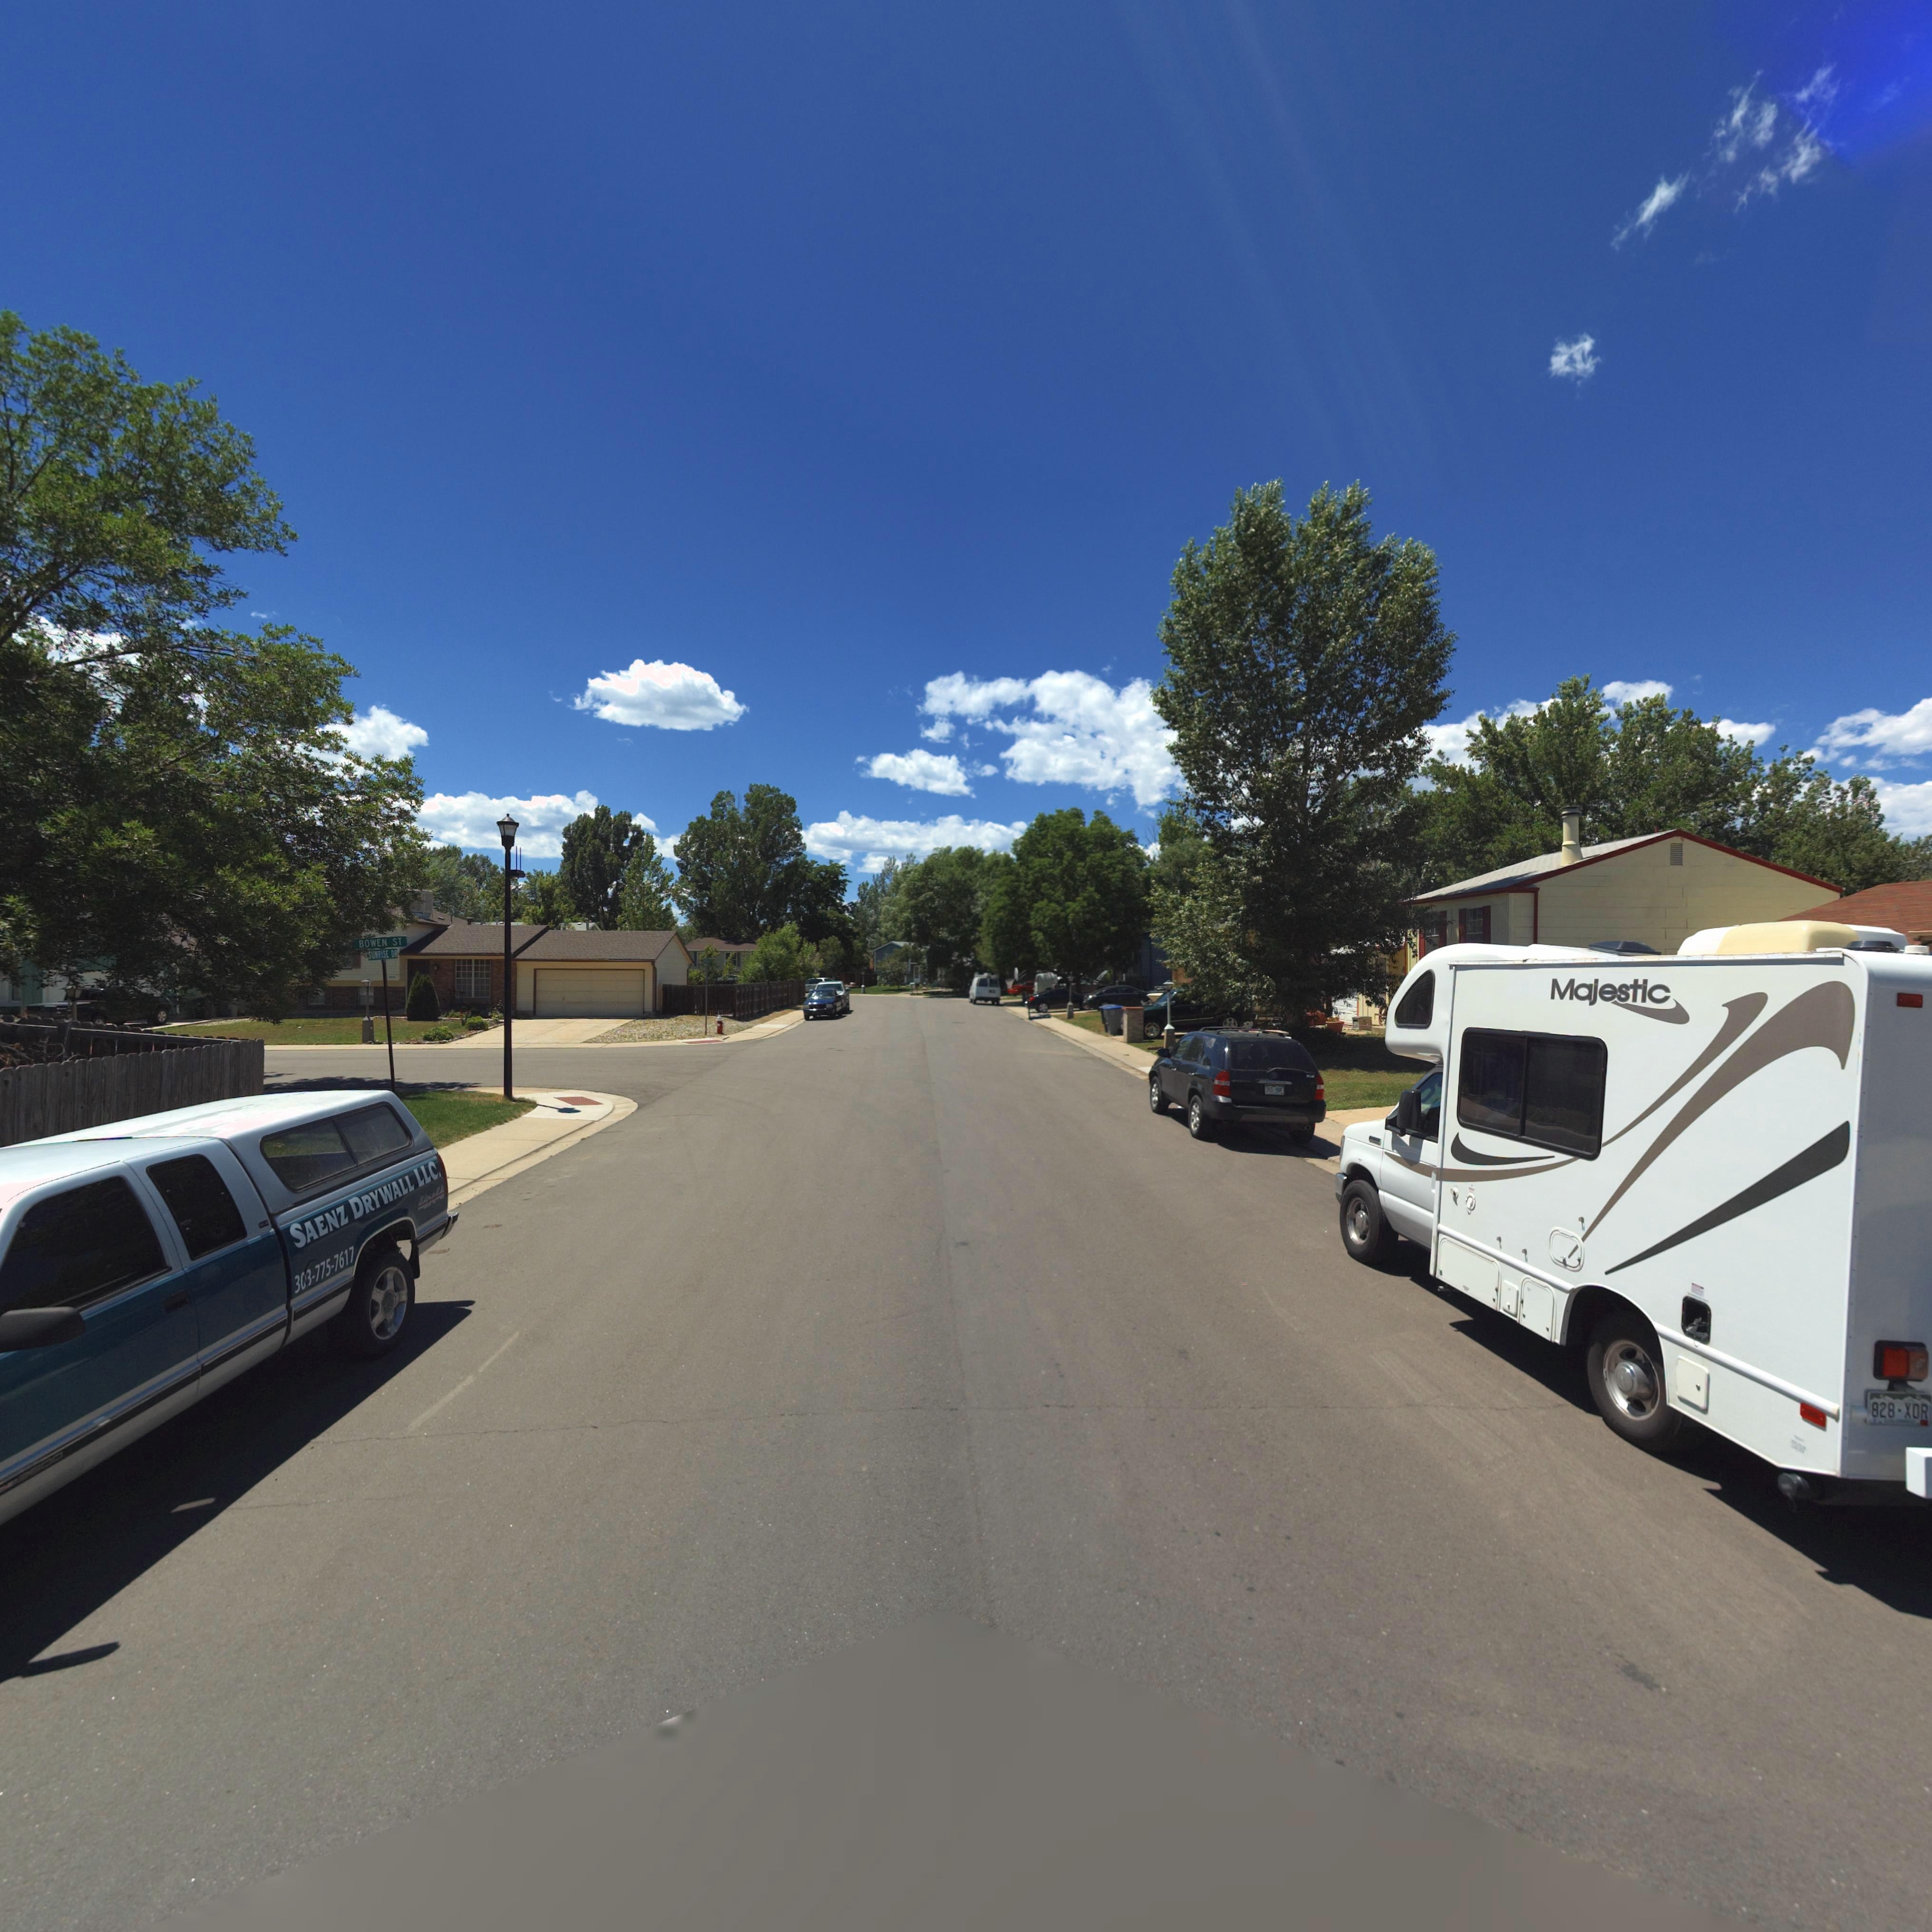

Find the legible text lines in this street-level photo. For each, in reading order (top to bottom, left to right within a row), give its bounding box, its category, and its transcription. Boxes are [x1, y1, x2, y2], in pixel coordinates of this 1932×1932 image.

[359, 937, 402, 948] StreetName: BOWEN ST
[368, 949, 396, 959] StreetName: SUNRISE DR